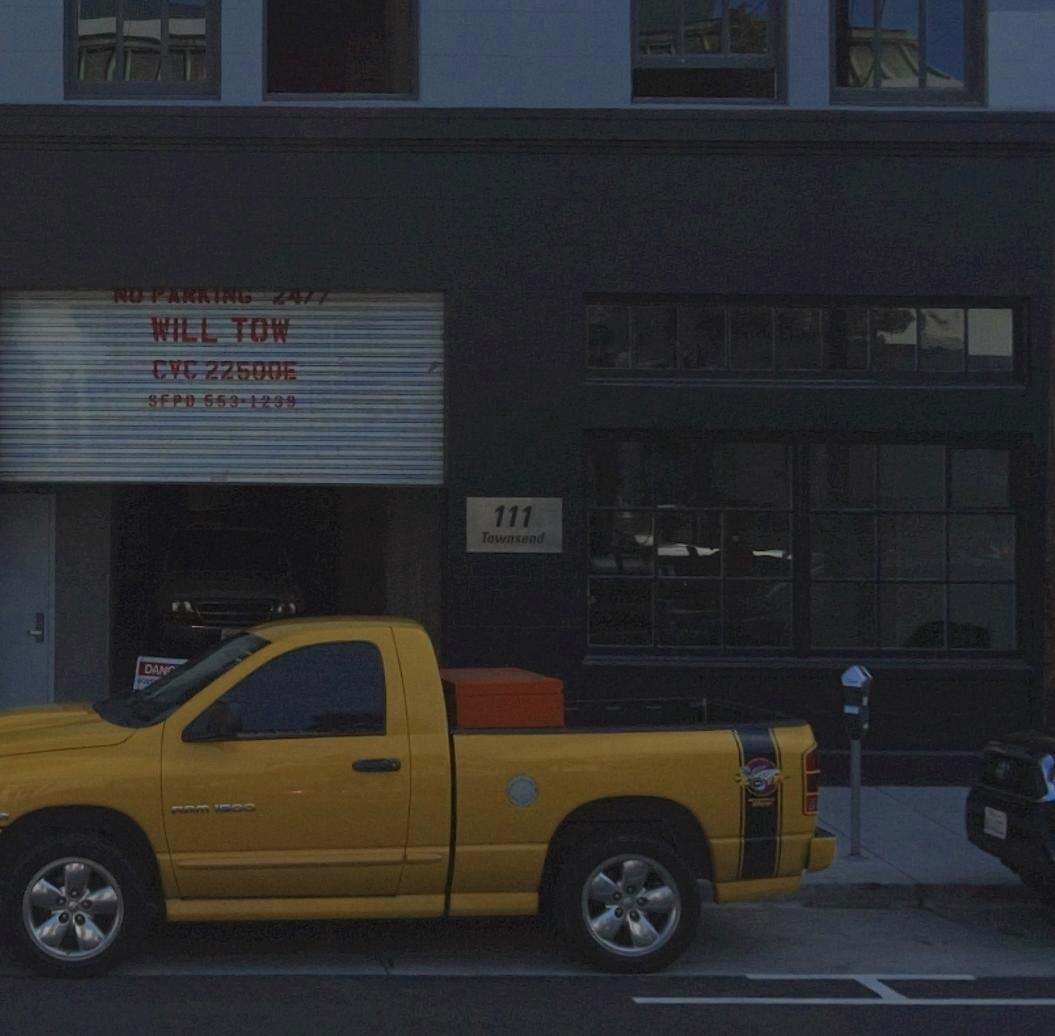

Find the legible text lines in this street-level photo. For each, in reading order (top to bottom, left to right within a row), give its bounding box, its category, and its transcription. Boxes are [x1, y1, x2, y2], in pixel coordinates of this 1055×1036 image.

[148, 312, 296, 348] None: WILL TOW
[147, 355, 300, 384] None: CVC 22500E
[145, 390, 300, 413] None: SFPD 553-1239
[492, 501, 540, 531] StreetNumber: 111
[478, 527, 549, 548] StreetName: Townsend
[142, 661, 170, 678] None: DAN
[170, 800, 261, 817] None: AM 1500